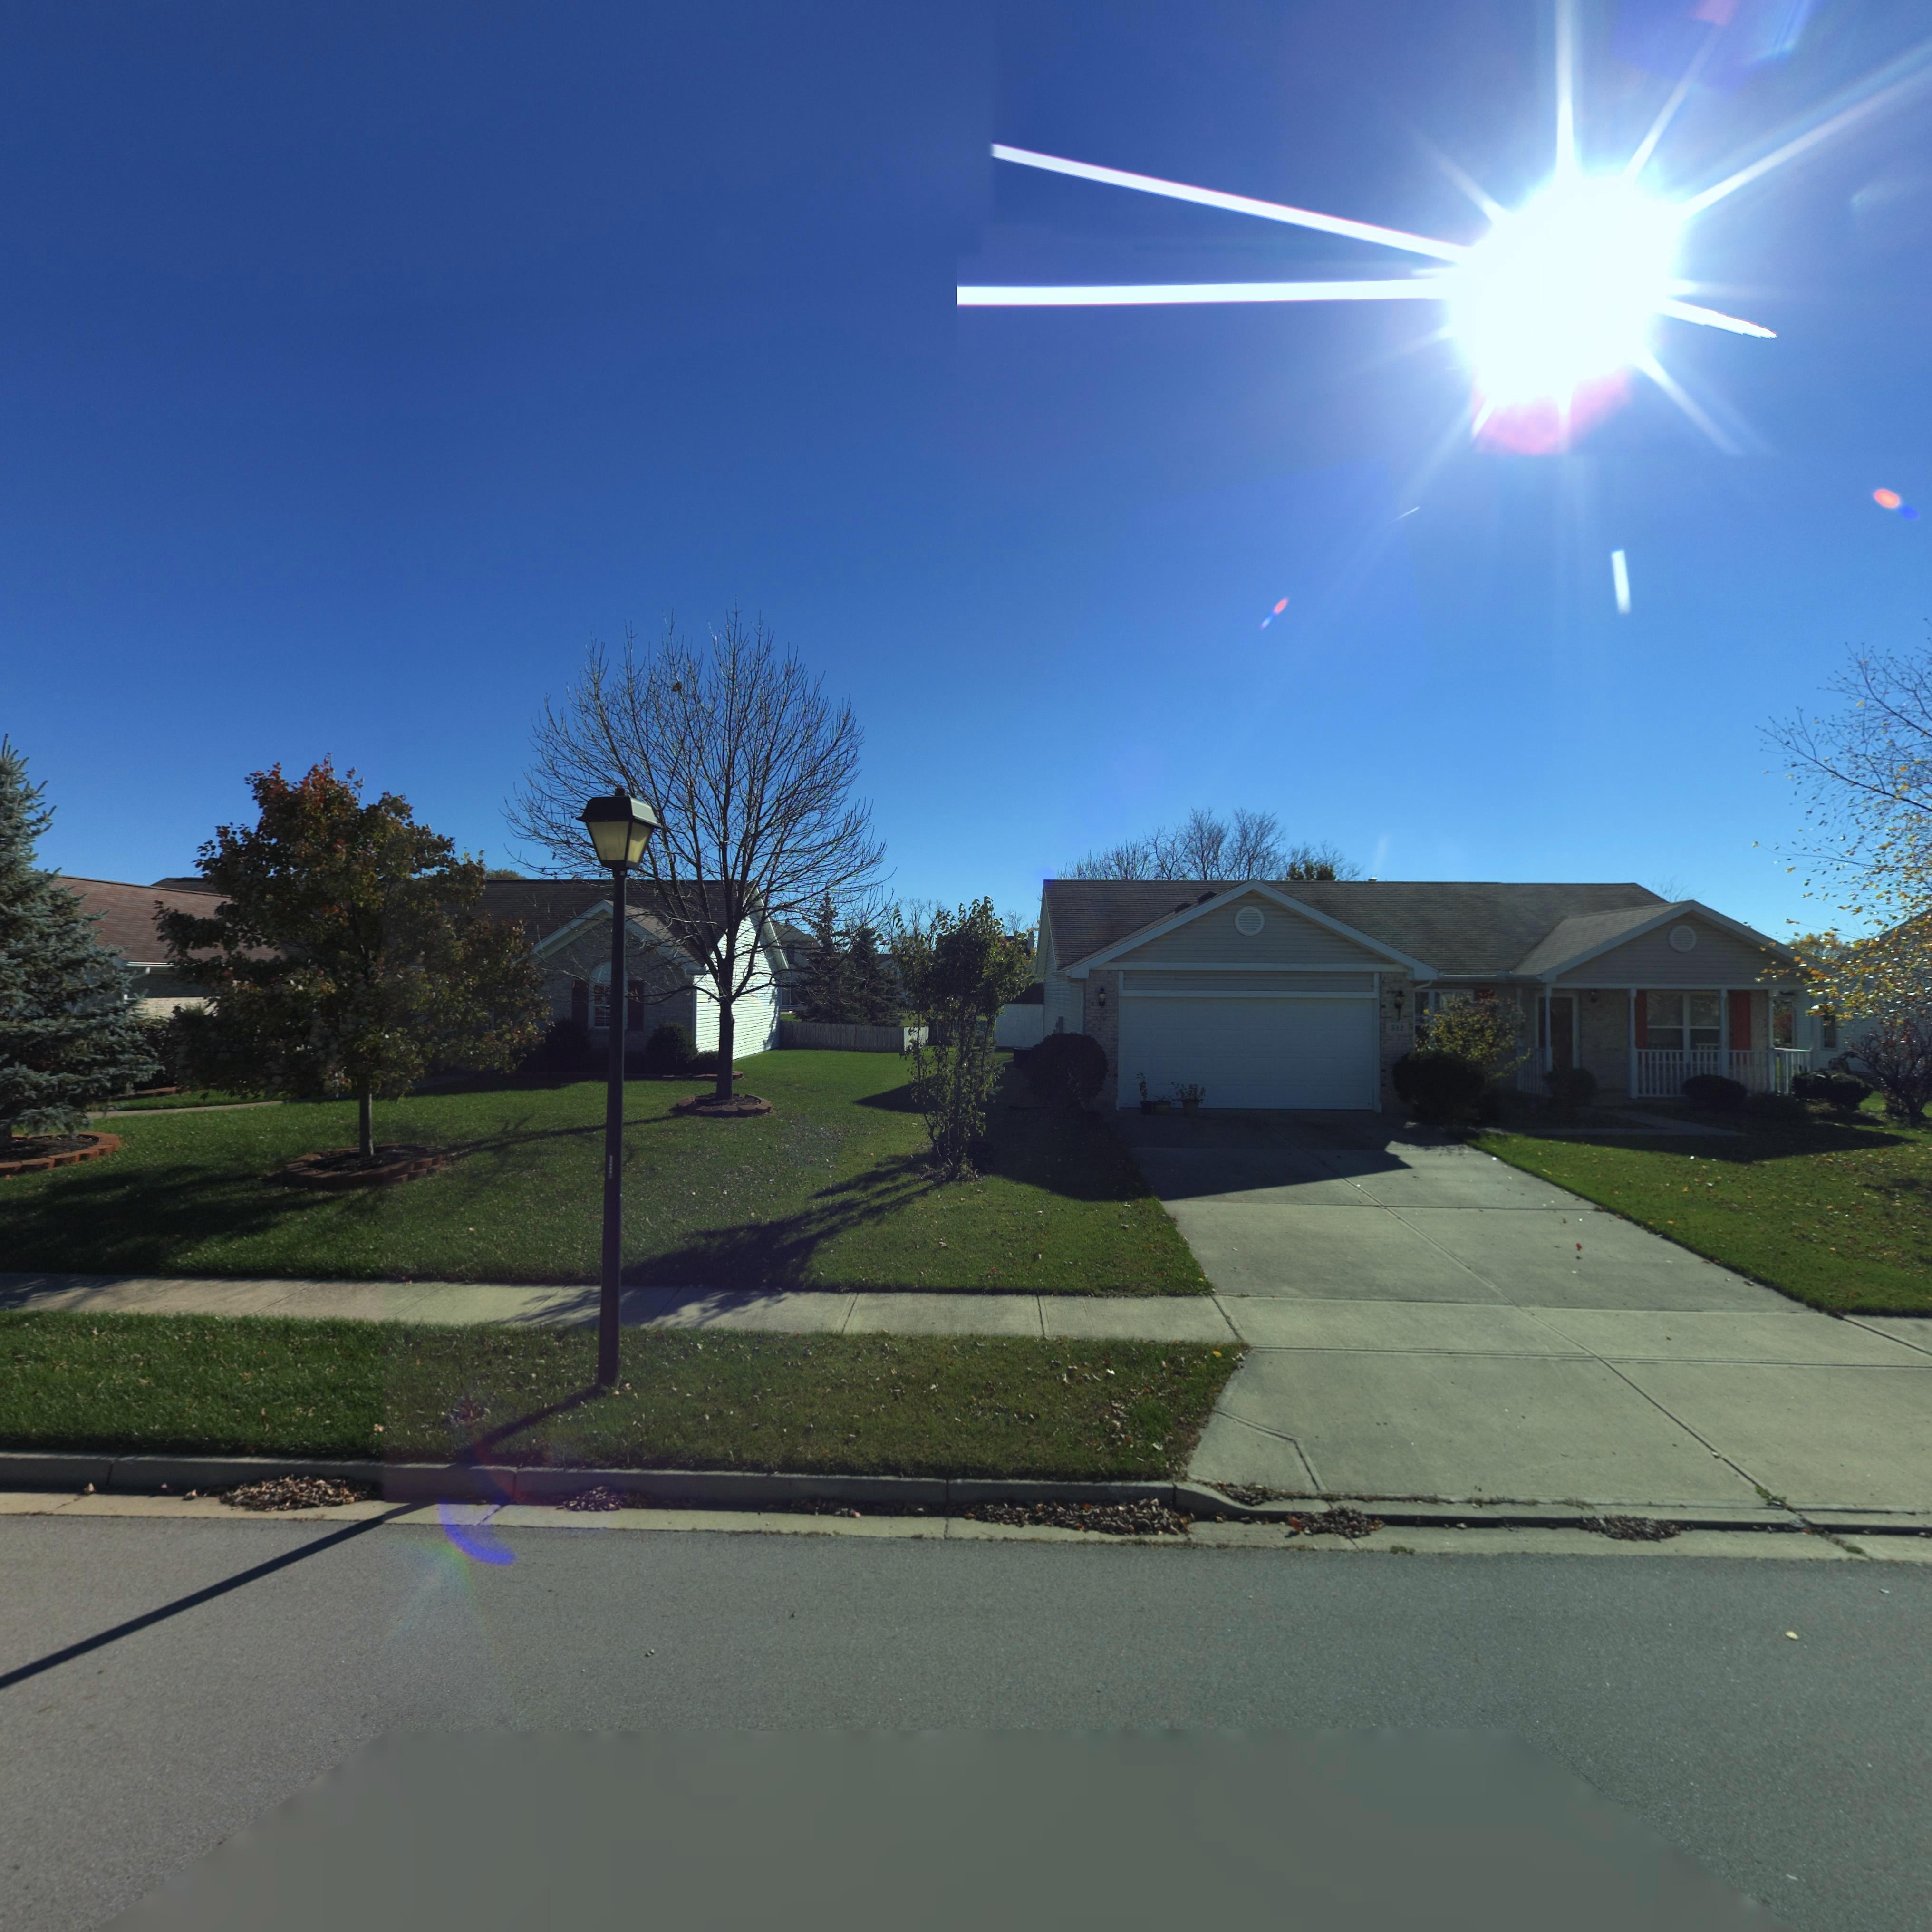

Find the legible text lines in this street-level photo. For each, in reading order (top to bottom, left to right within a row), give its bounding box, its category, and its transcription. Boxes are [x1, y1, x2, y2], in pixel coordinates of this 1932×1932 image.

[1390, 1024, 1405, 1032] StreetNumber: *1*